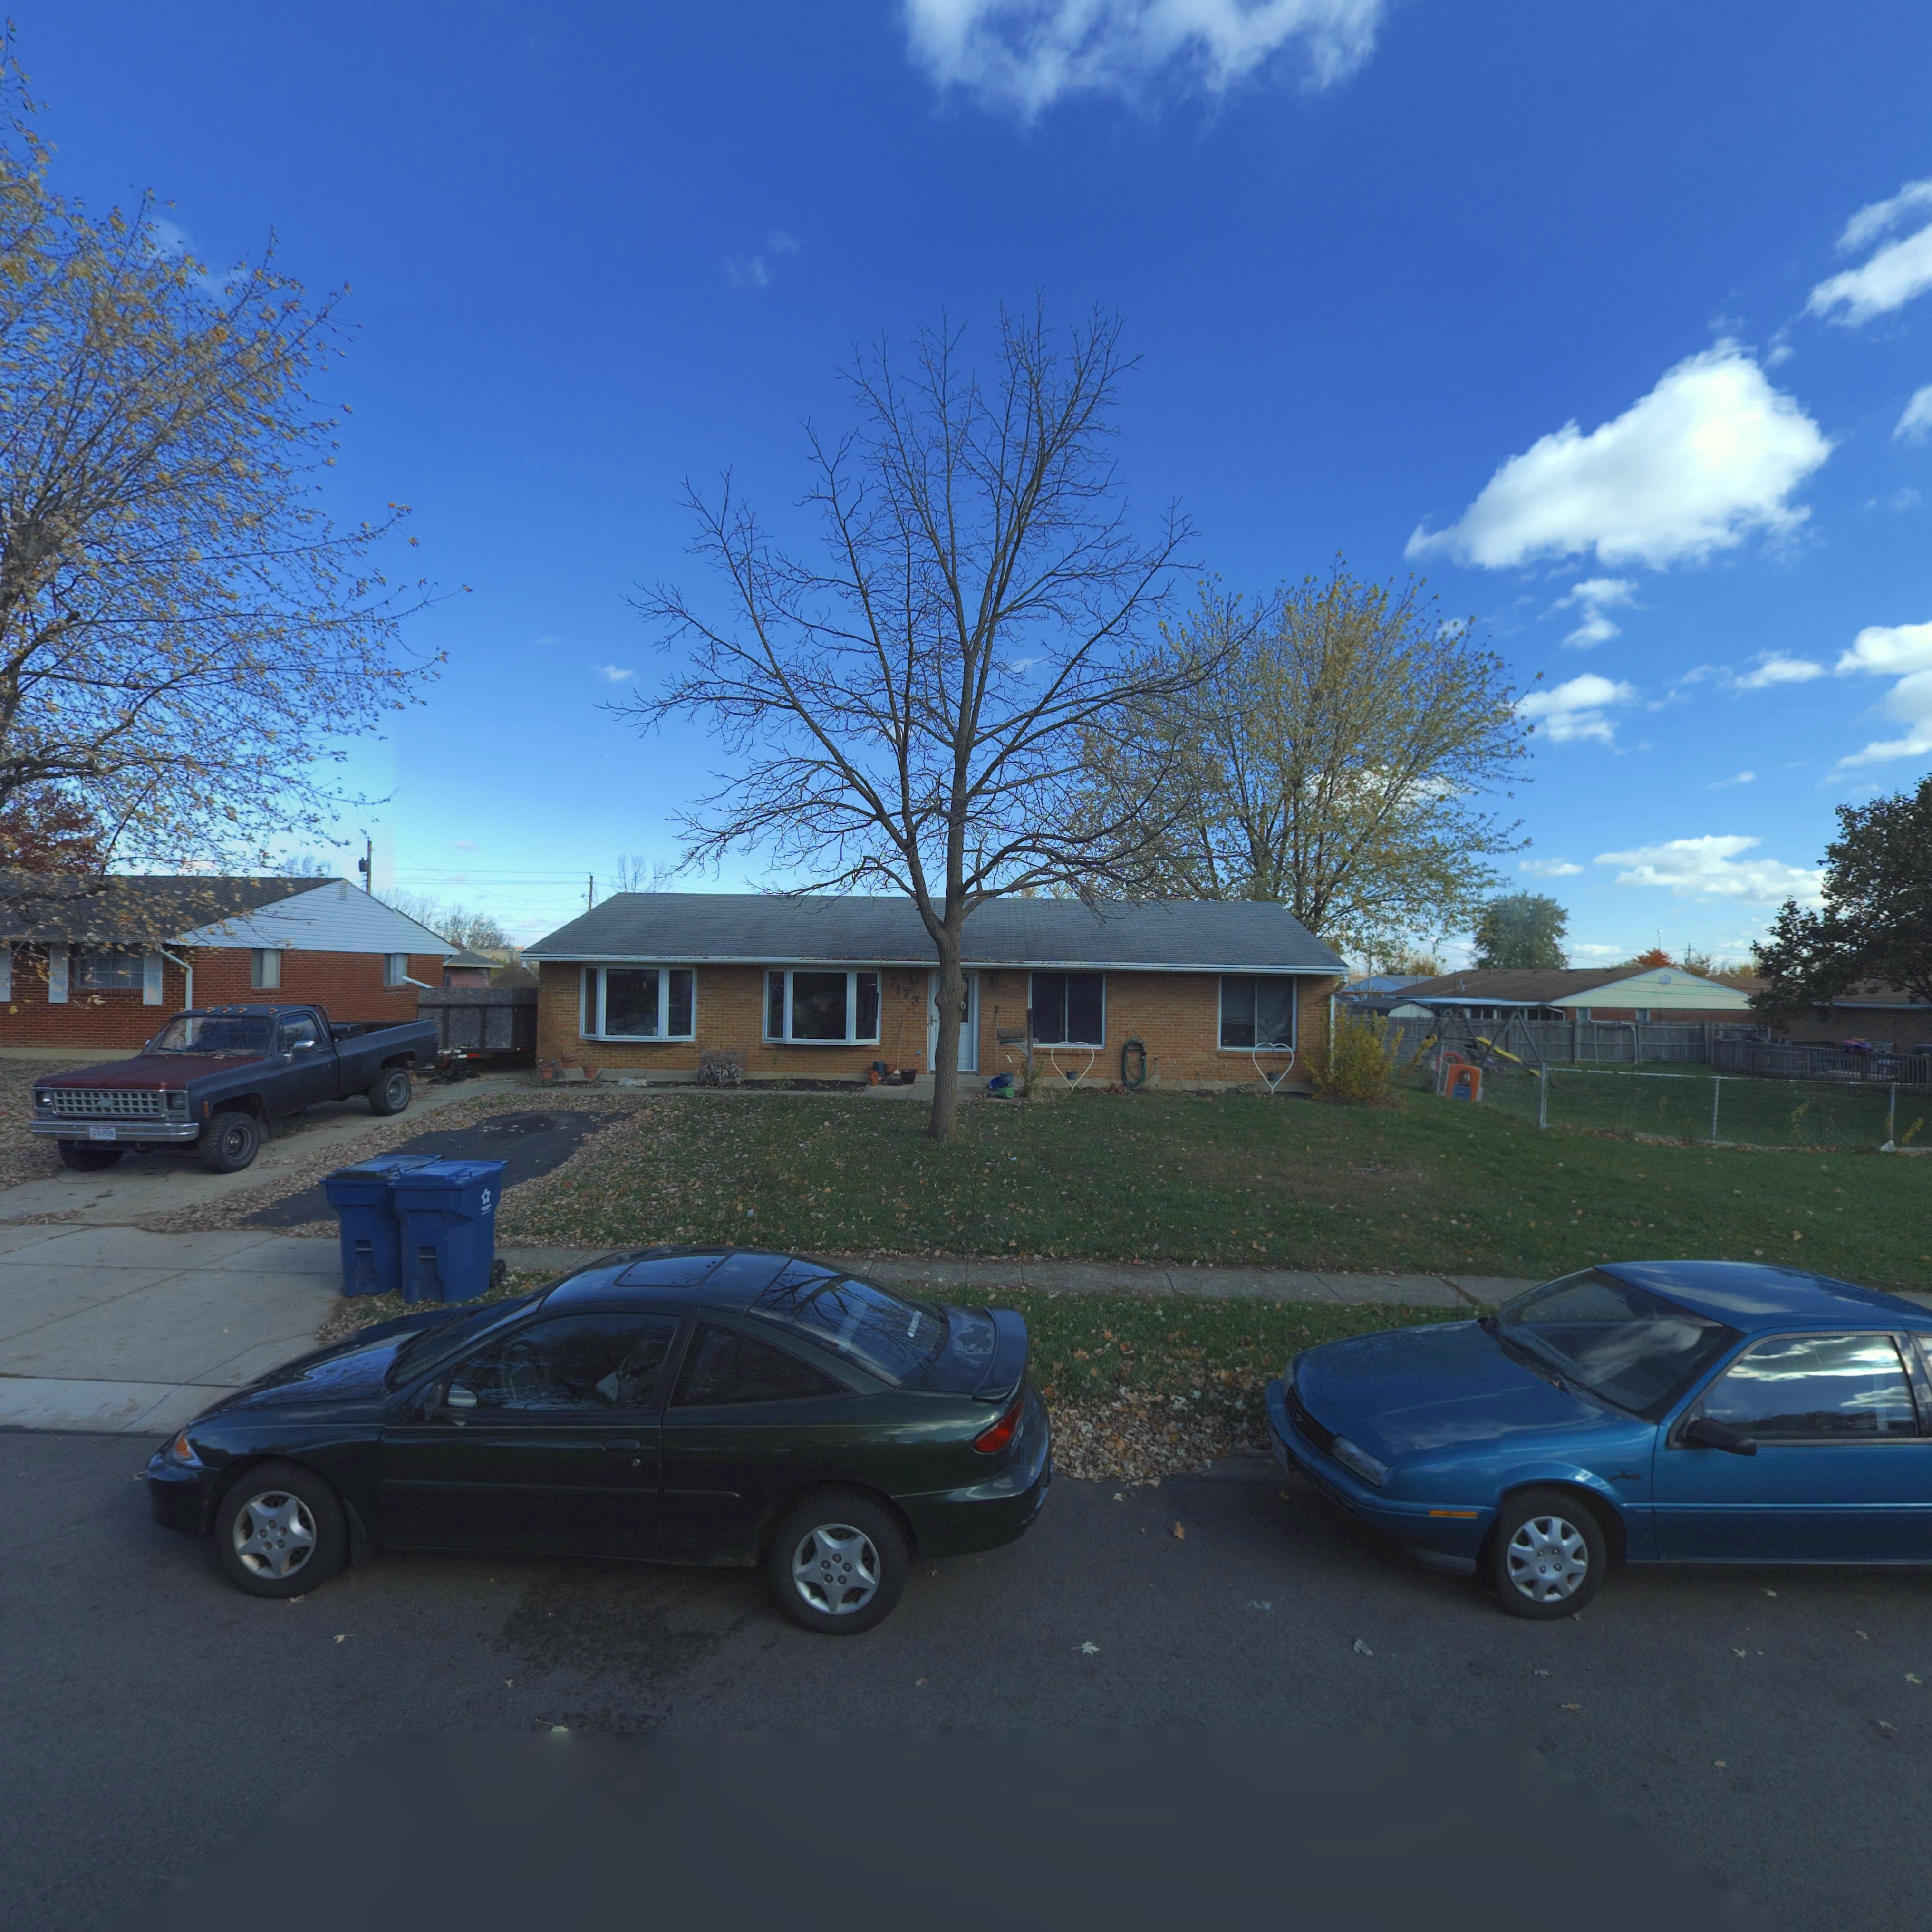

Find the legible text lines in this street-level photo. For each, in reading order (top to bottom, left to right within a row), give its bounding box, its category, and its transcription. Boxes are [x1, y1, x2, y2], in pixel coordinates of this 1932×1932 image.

[888, 976, 920, 1008] StreetNumber: 7173